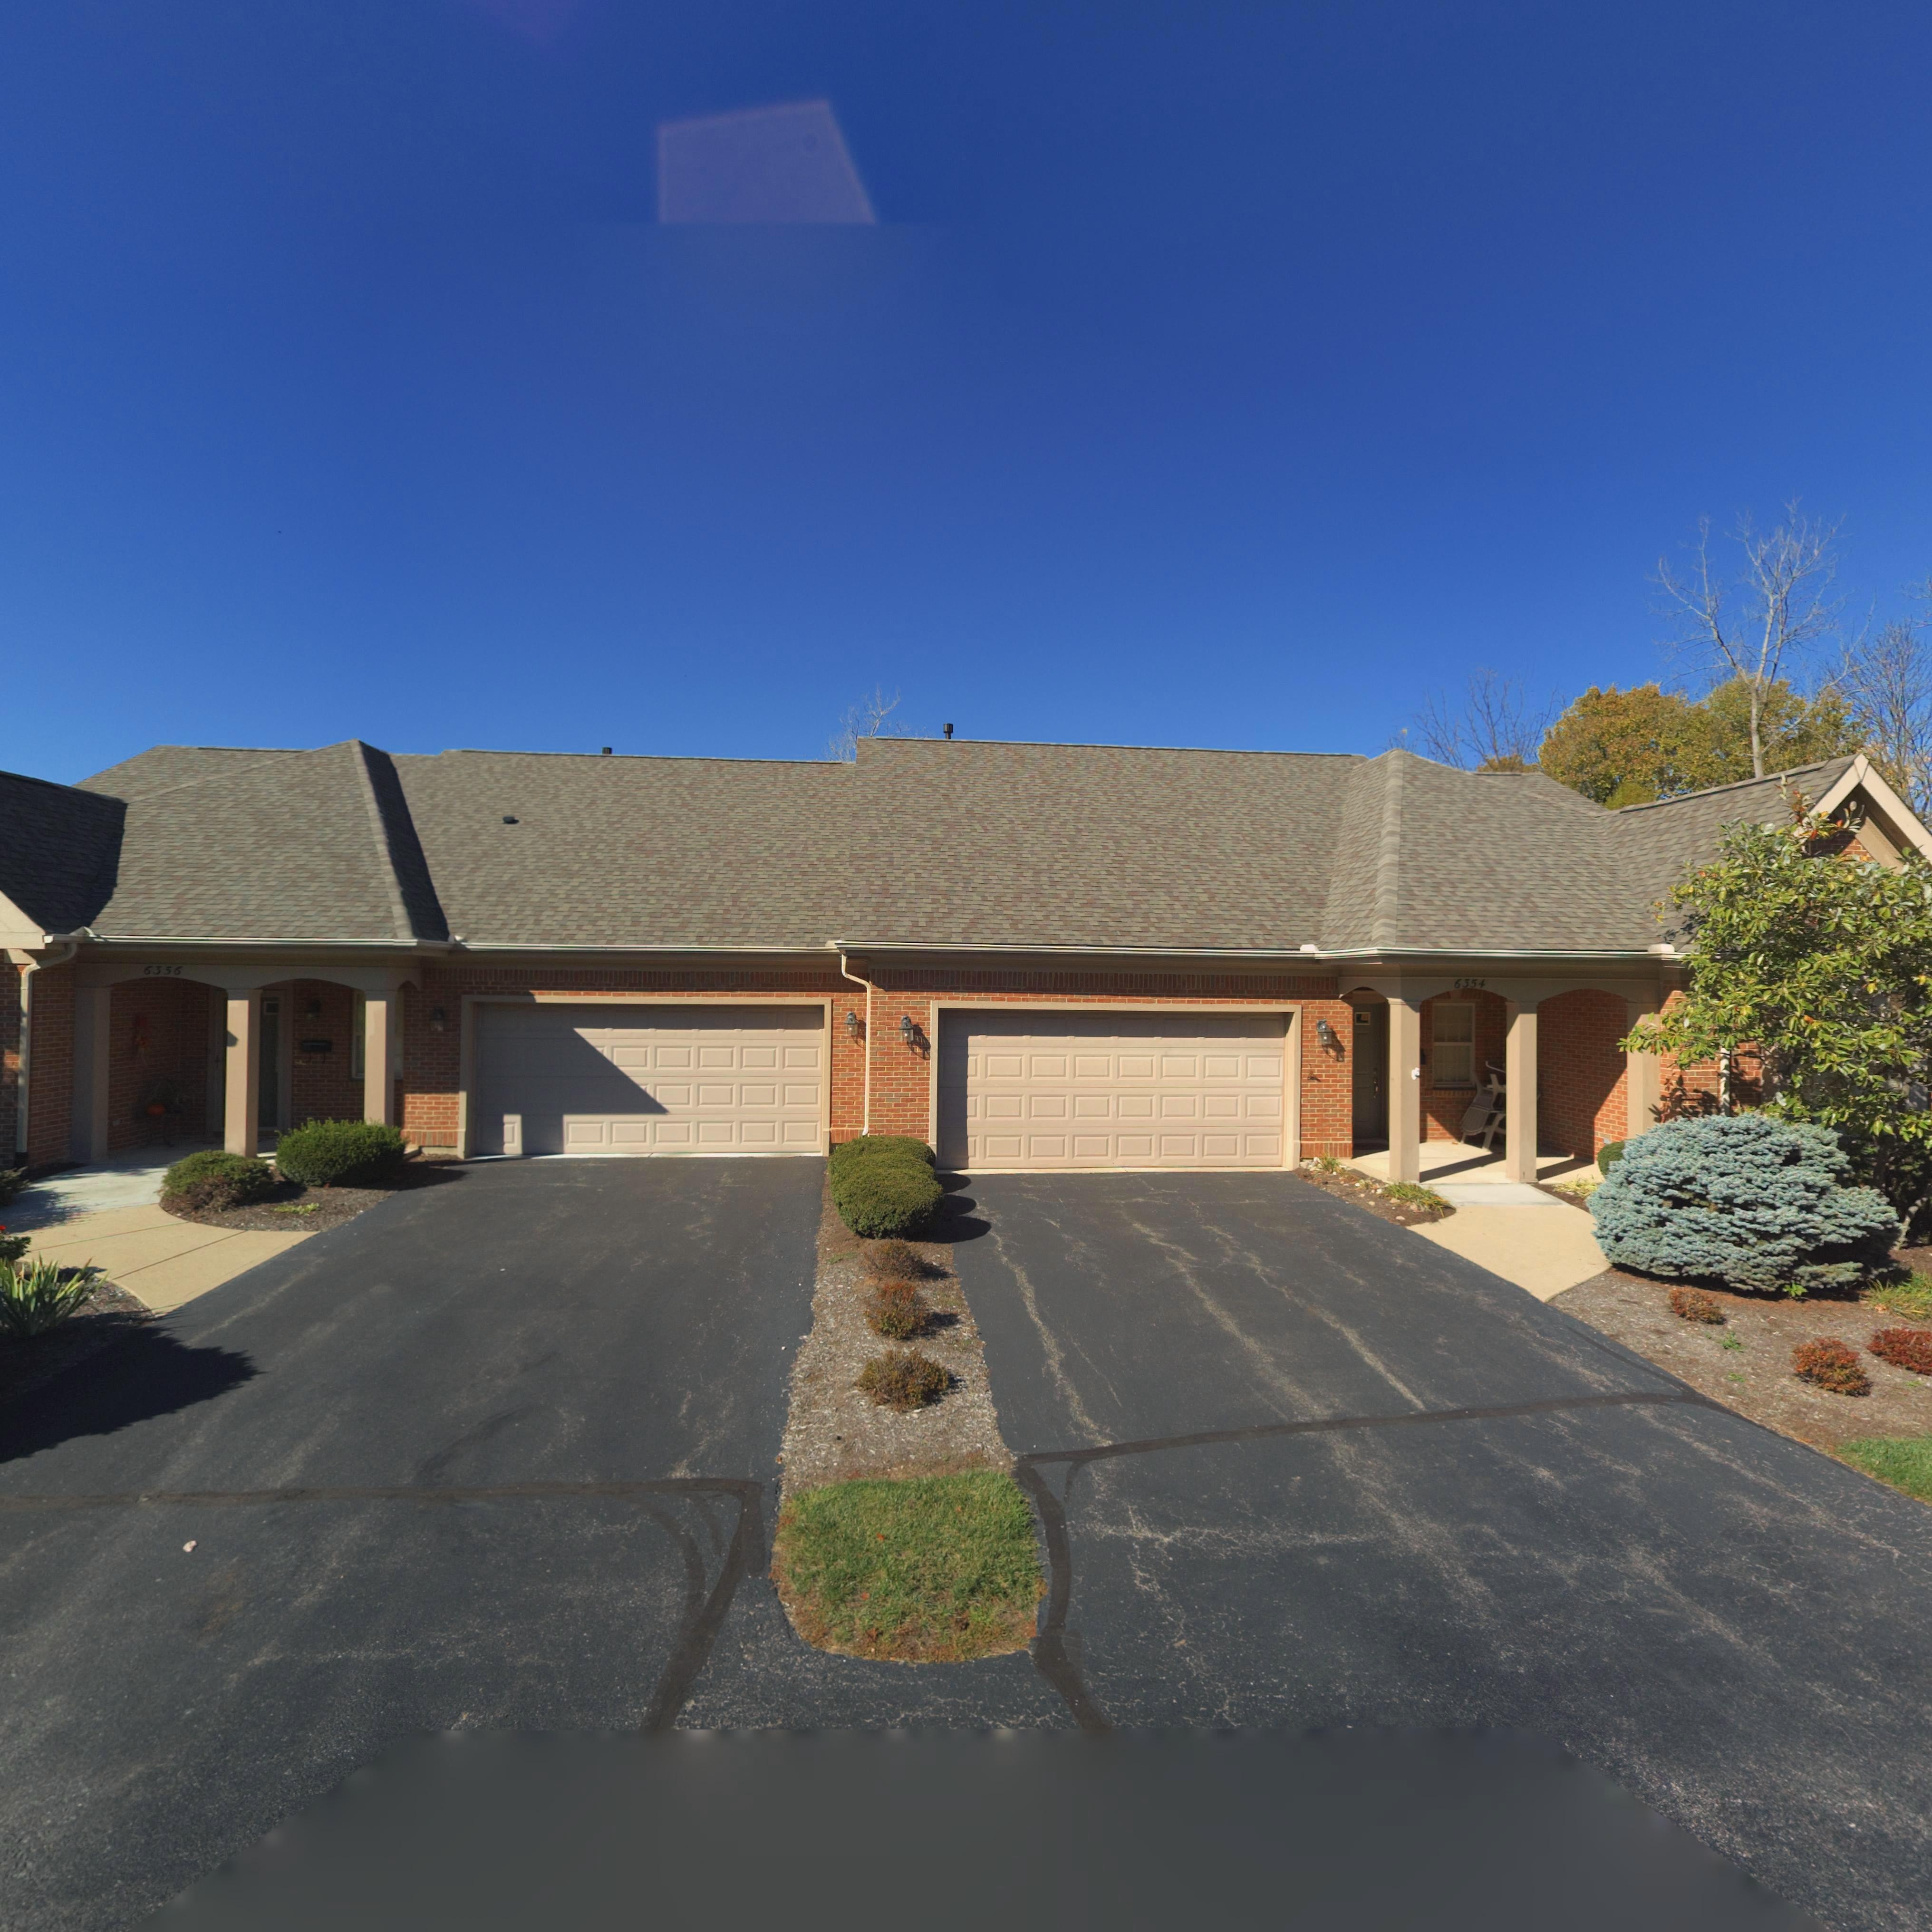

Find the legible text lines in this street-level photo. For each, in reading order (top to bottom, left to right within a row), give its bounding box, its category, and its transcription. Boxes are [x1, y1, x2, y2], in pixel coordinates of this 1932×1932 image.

[143, 965, 184, 976] StreetNumber: 6356
[1453, 978, 1486, 989] StreetNumber: 6354